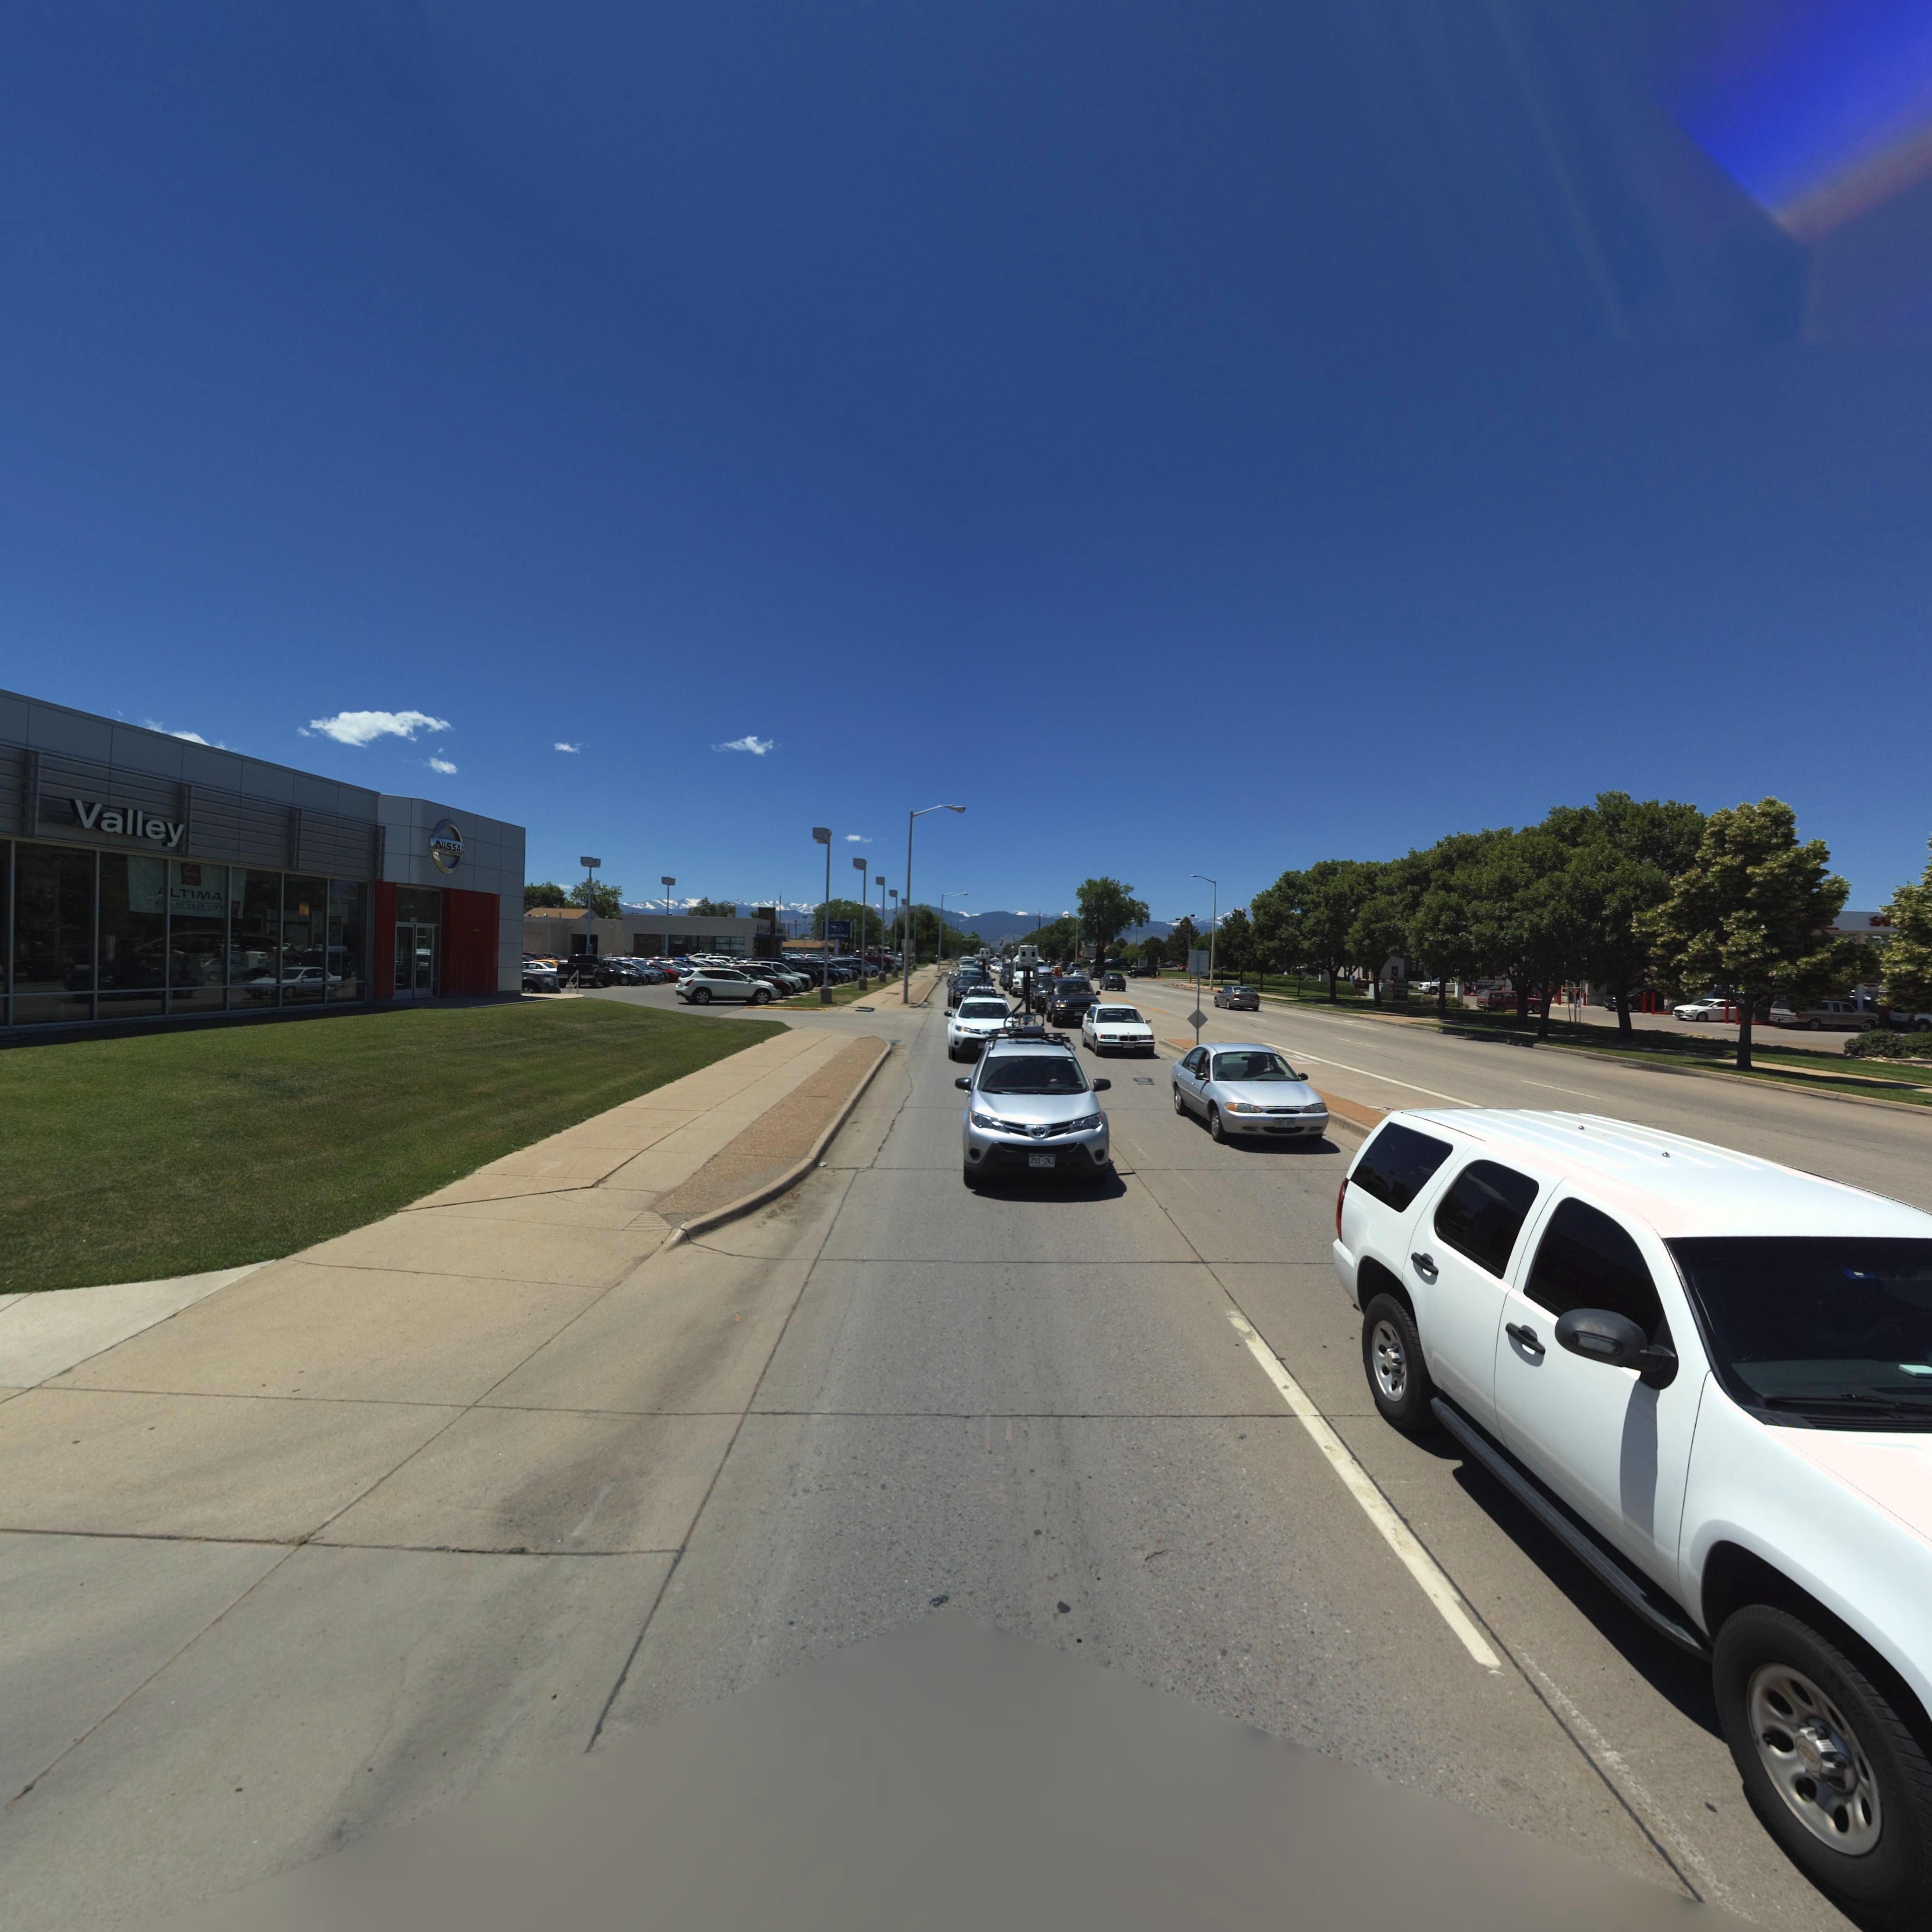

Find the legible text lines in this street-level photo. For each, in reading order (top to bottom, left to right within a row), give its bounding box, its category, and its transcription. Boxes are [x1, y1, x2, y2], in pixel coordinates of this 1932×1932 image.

[74, 799, 186, 849] BusinessName: Valley
[435, 840, 465, 854] BusinessName: NISSAN
[757, 925, 771, 933] BusinessName: S*B*RU
[828, 933, 848, 937] BusinessName: ****U